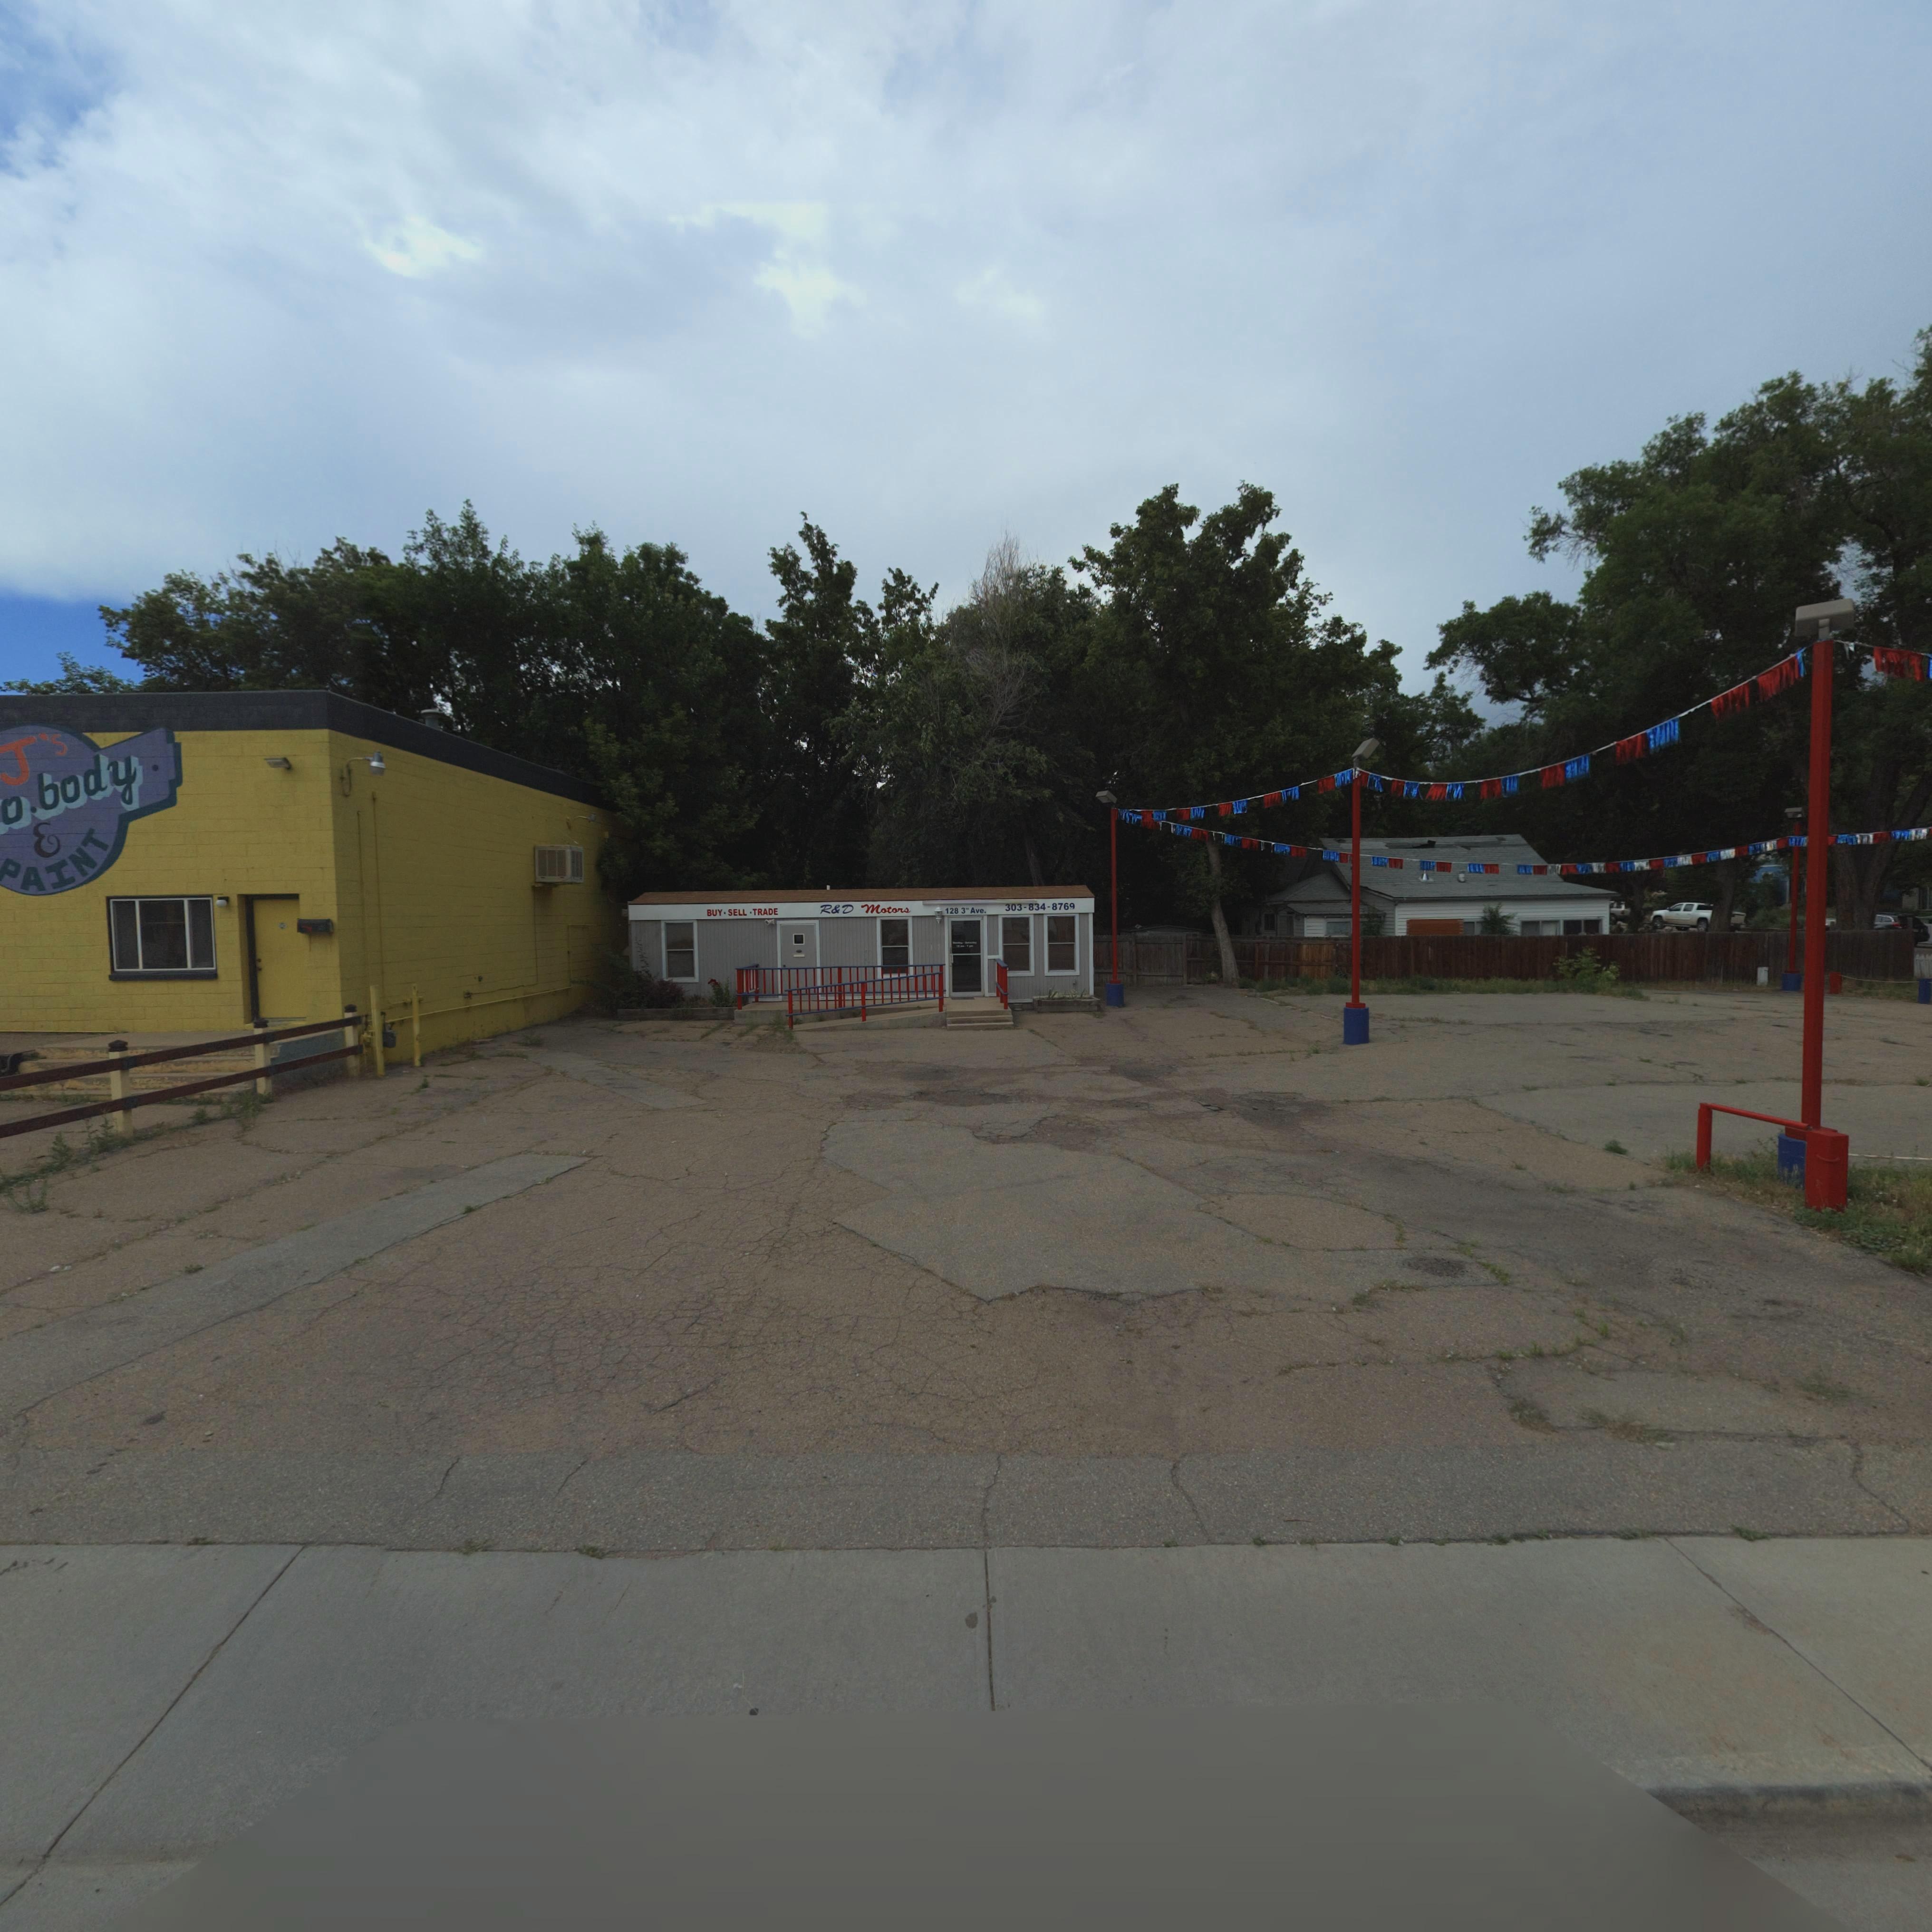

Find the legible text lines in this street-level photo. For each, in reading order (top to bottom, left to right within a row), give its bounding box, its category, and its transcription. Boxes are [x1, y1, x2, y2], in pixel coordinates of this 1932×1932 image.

[38, 731, 68, 756] BusinessName: *s
[1, 753, 138, 826] BusinessName: o * body
[18, 826, 109, 892] BusinessName: AINT